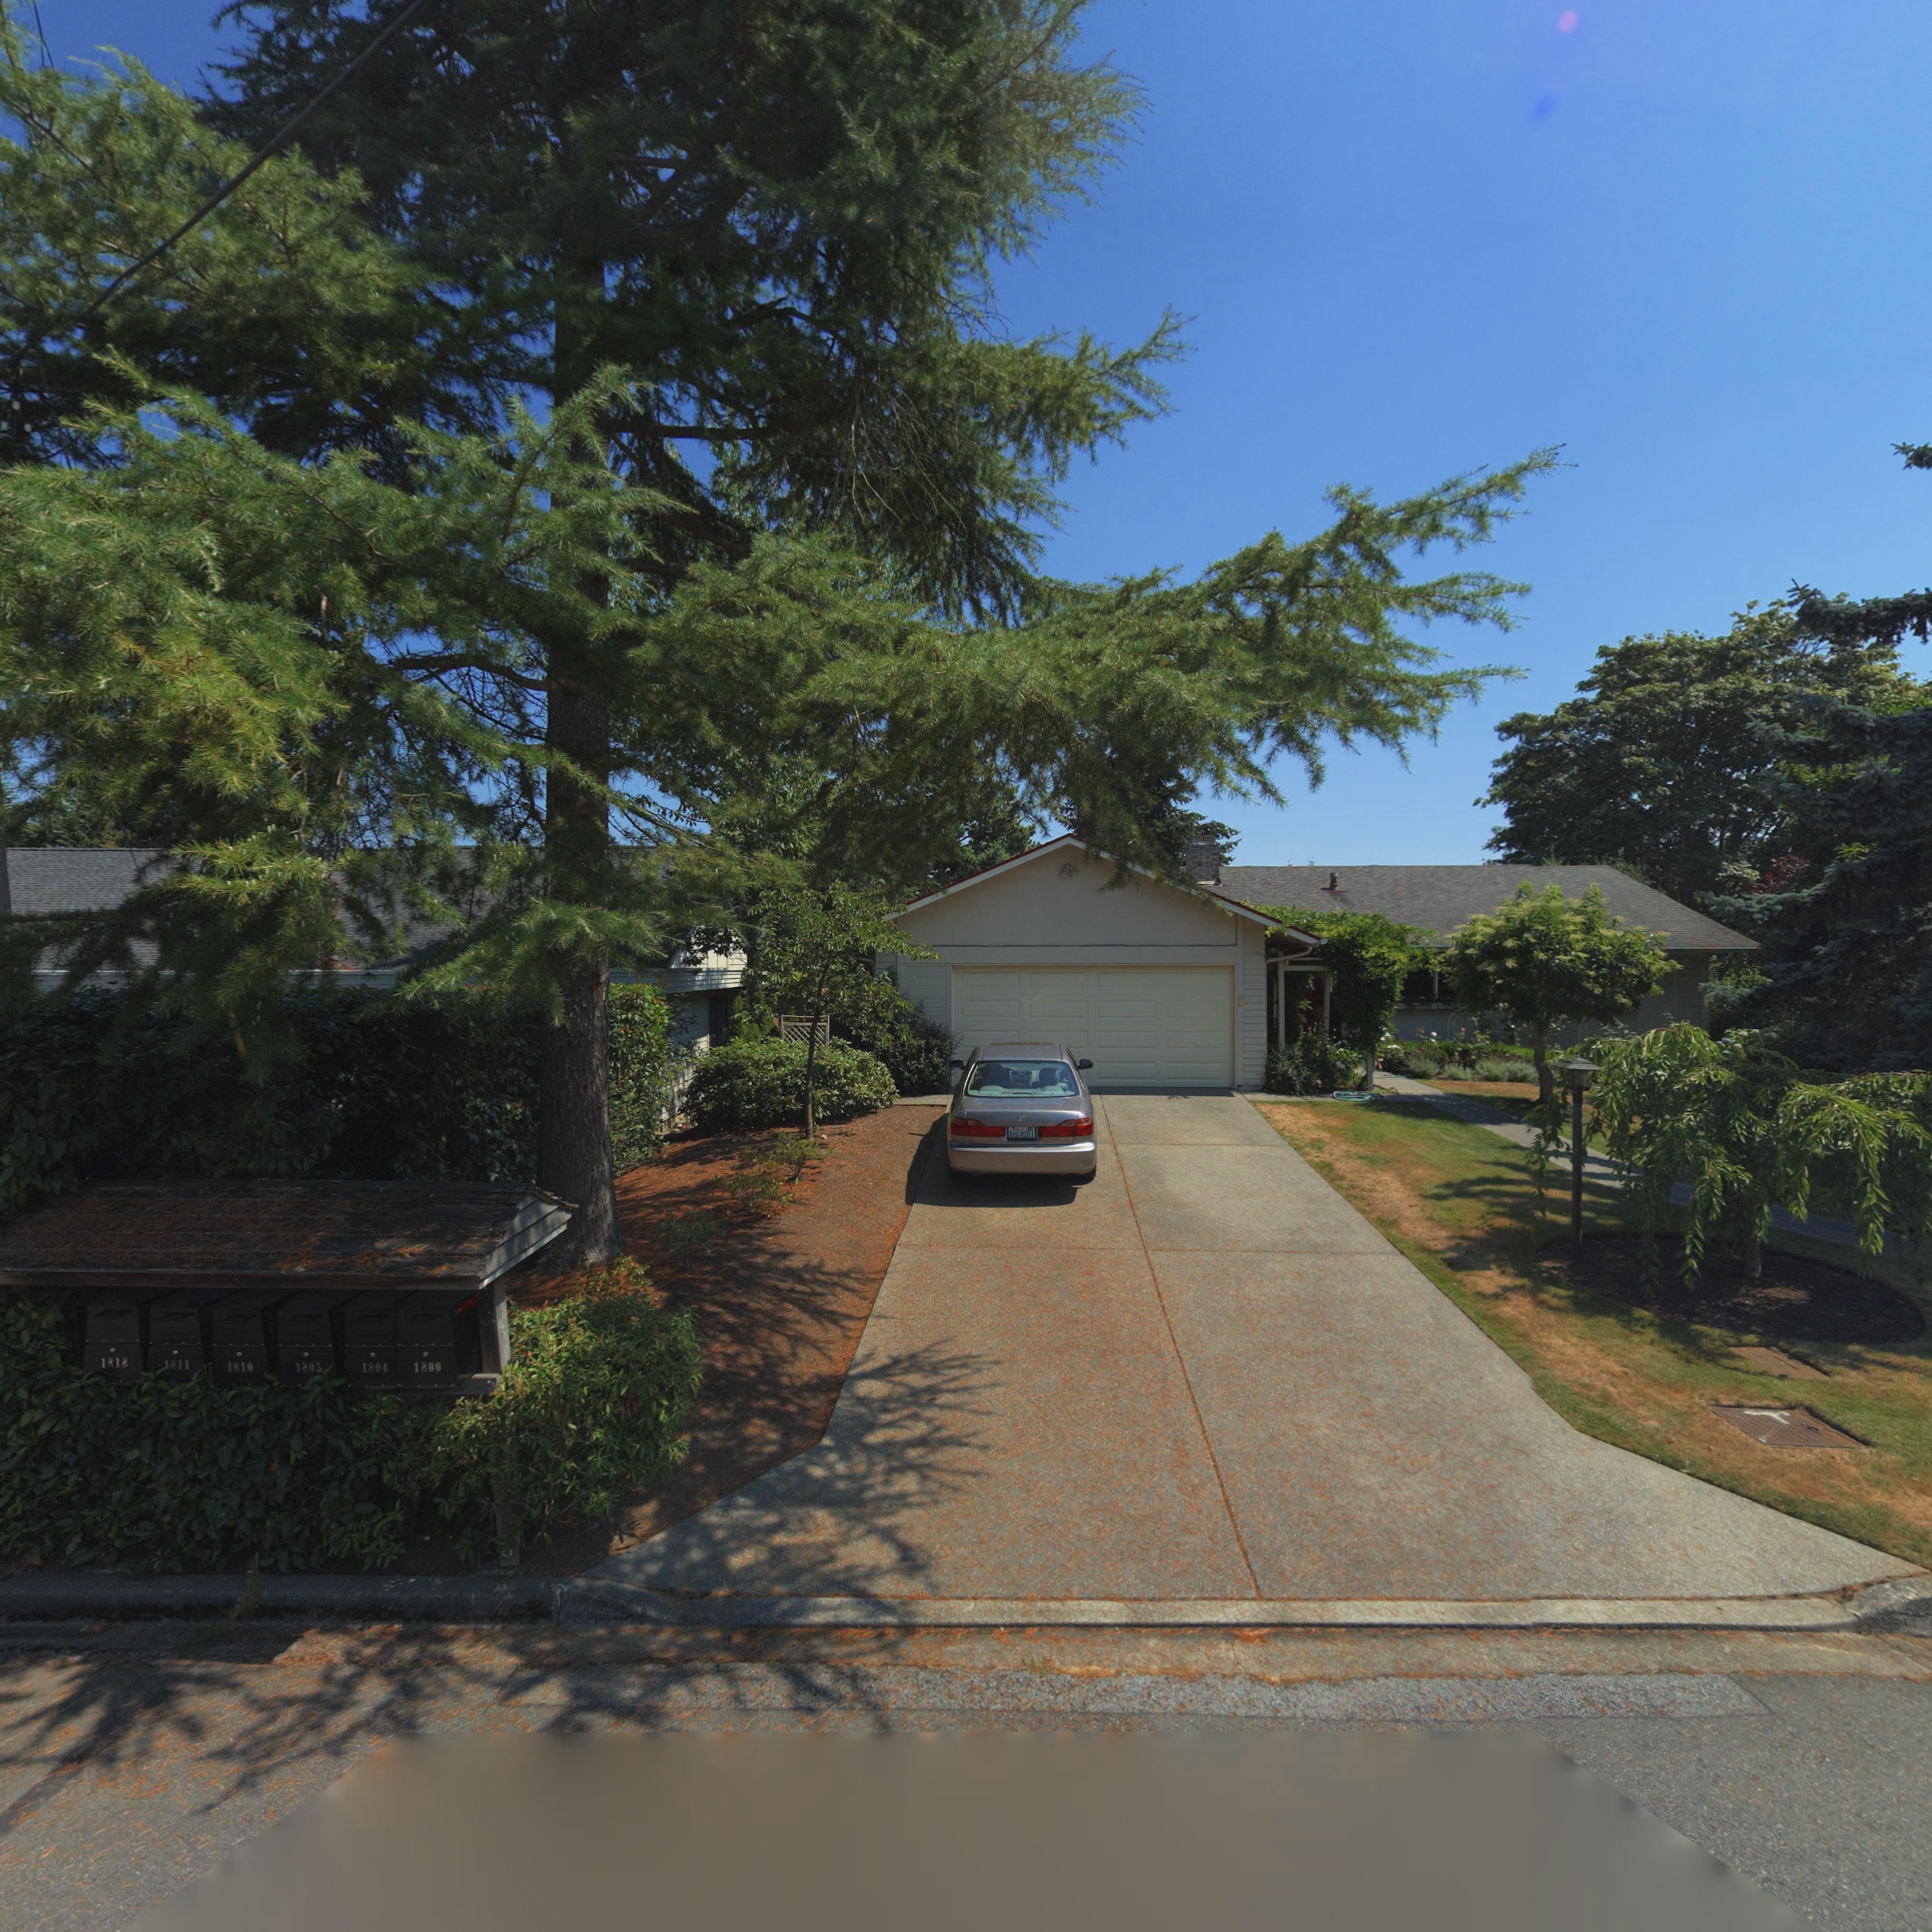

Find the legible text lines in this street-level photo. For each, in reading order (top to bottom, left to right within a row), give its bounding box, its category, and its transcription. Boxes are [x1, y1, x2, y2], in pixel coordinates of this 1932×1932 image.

[101, 1357, 130, 1368] StreetNumber: 1818
[164, 1360, 190, 1370] StreetNumber: 1811
[227, 1362, 253, 1372] StreetNumber: 1810
[296, 1362, 321, 1372] StreetNumber: 1805
[362, 1362, 388, 1373] StreetNumber: 1804
[414, 1362, 442, 1373] StreetNumber: 1800